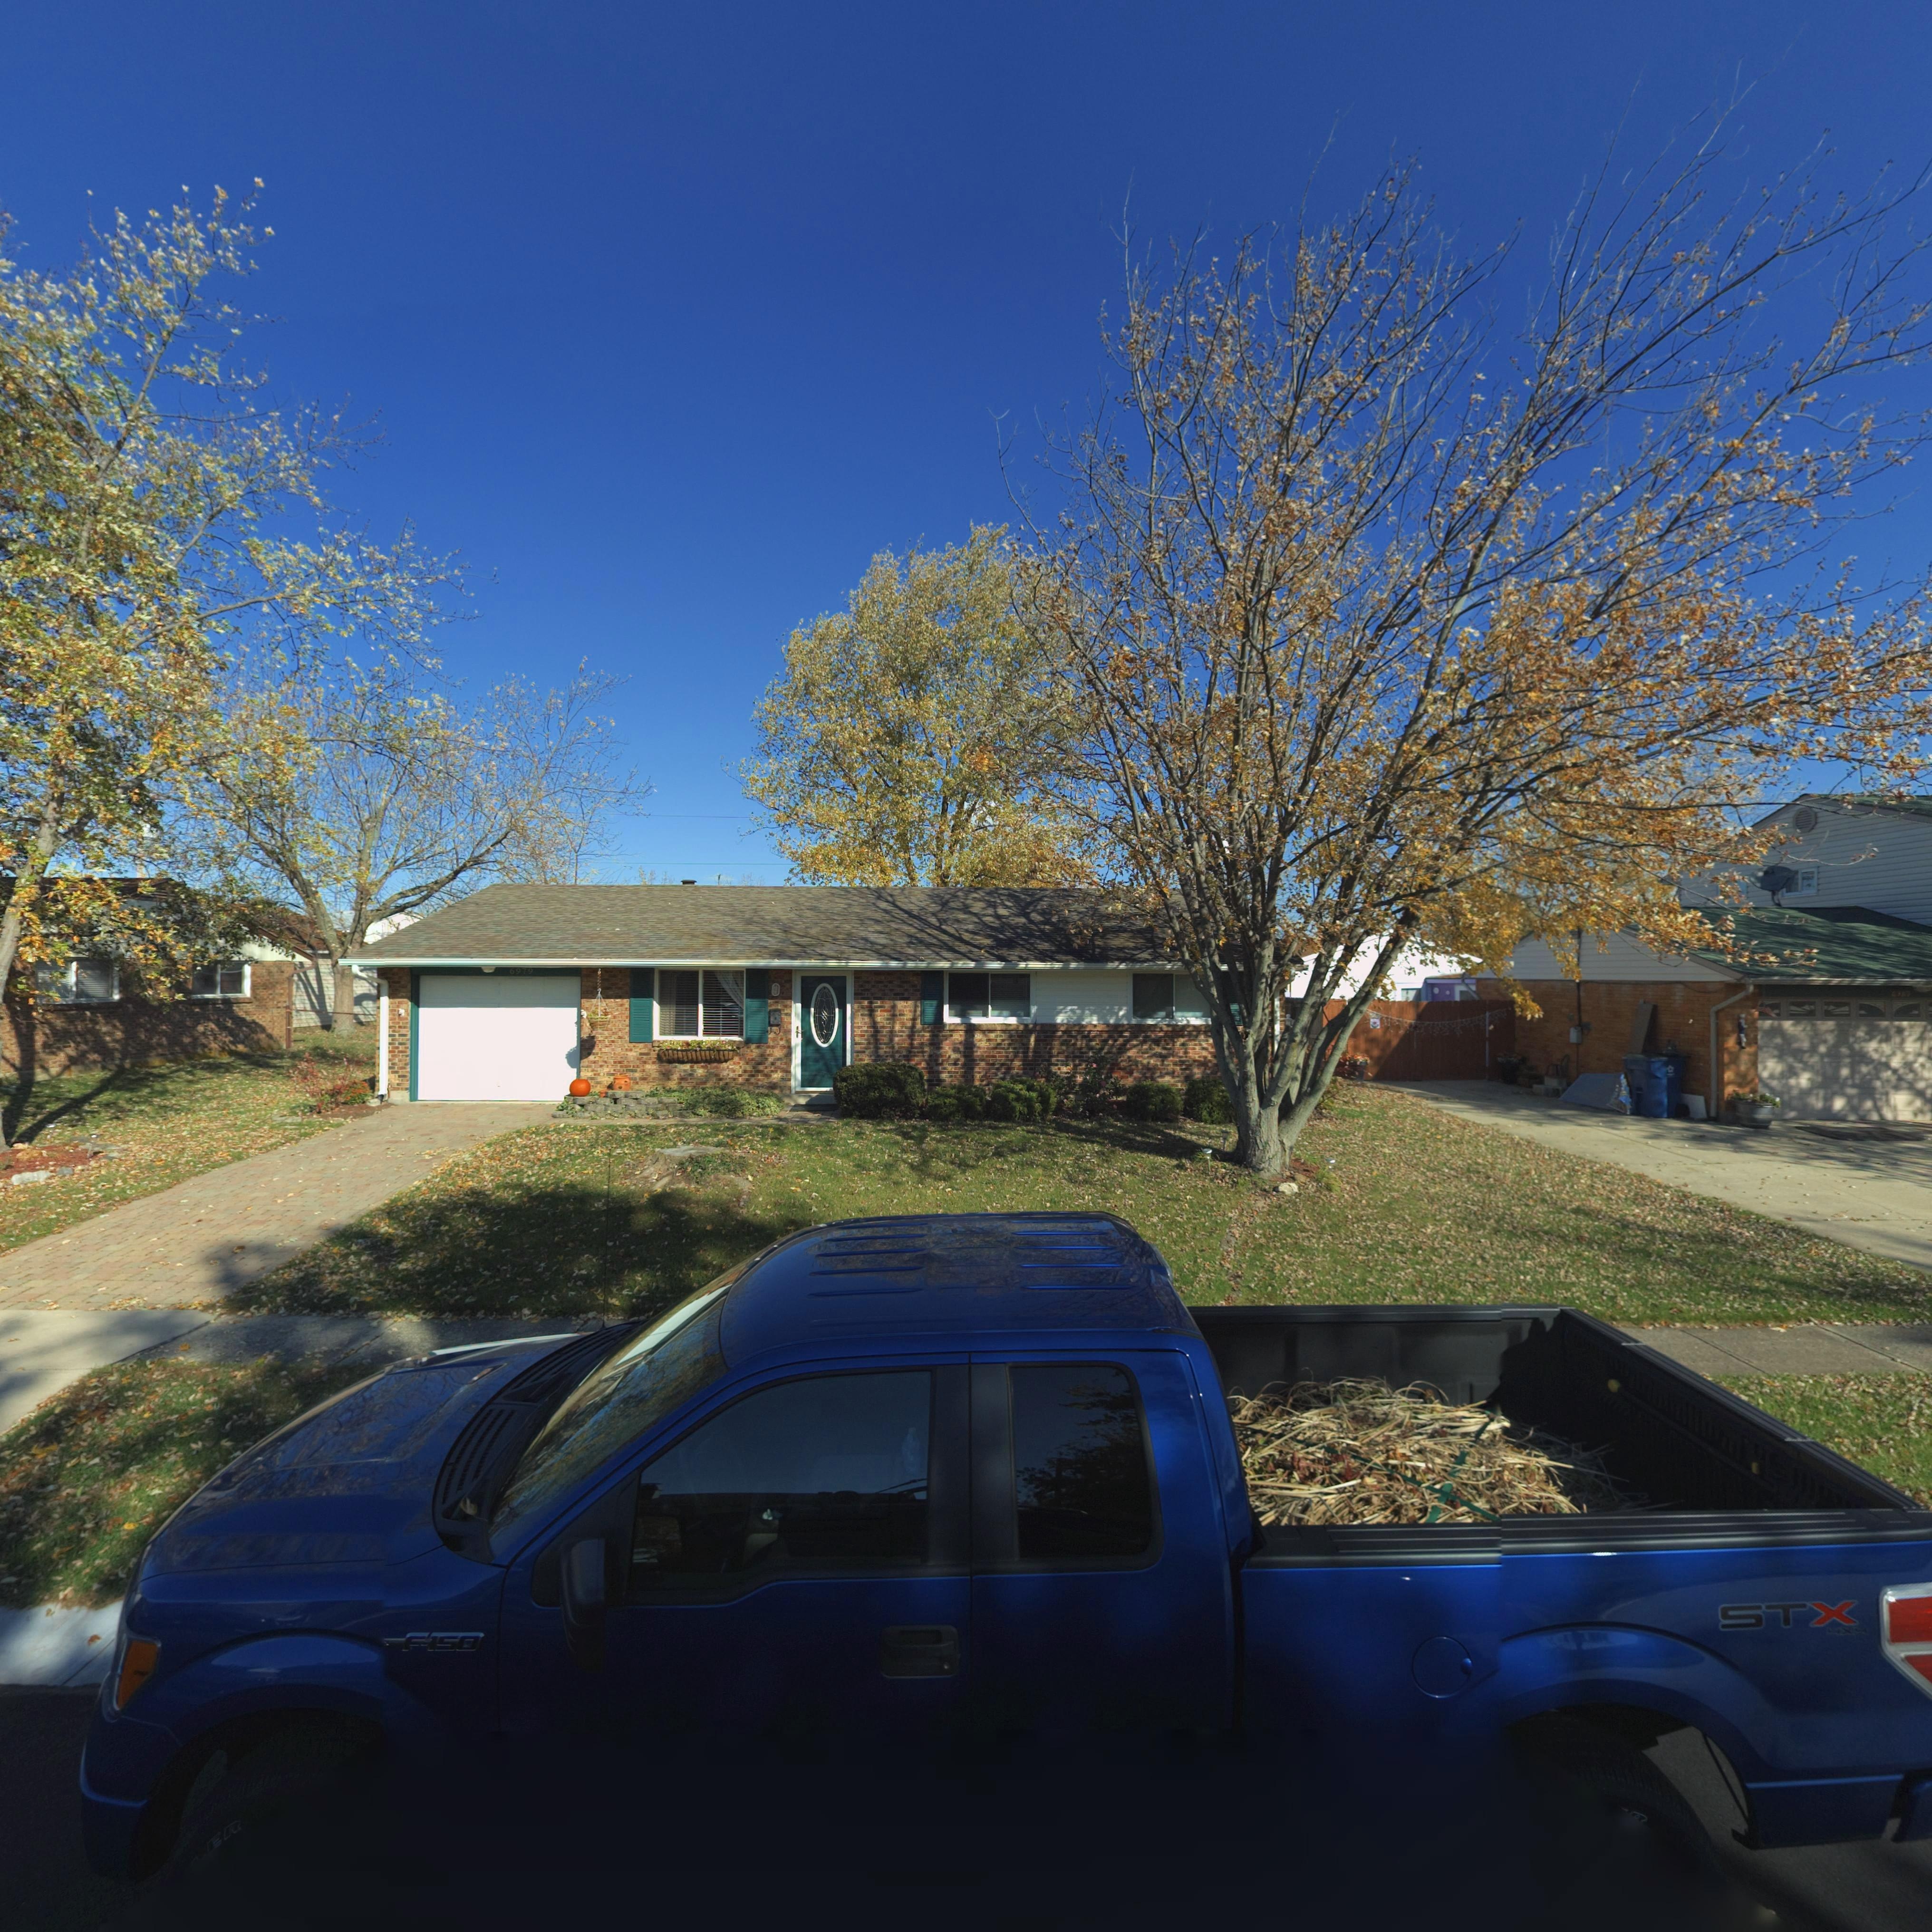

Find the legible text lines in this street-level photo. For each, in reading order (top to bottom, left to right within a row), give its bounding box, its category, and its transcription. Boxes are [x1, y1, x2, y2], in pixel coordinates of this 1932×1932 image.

[509, 967, 534, 975] StreetNumber: 6979
[1890, 990, 1912, 998] StreetNumber: 6989